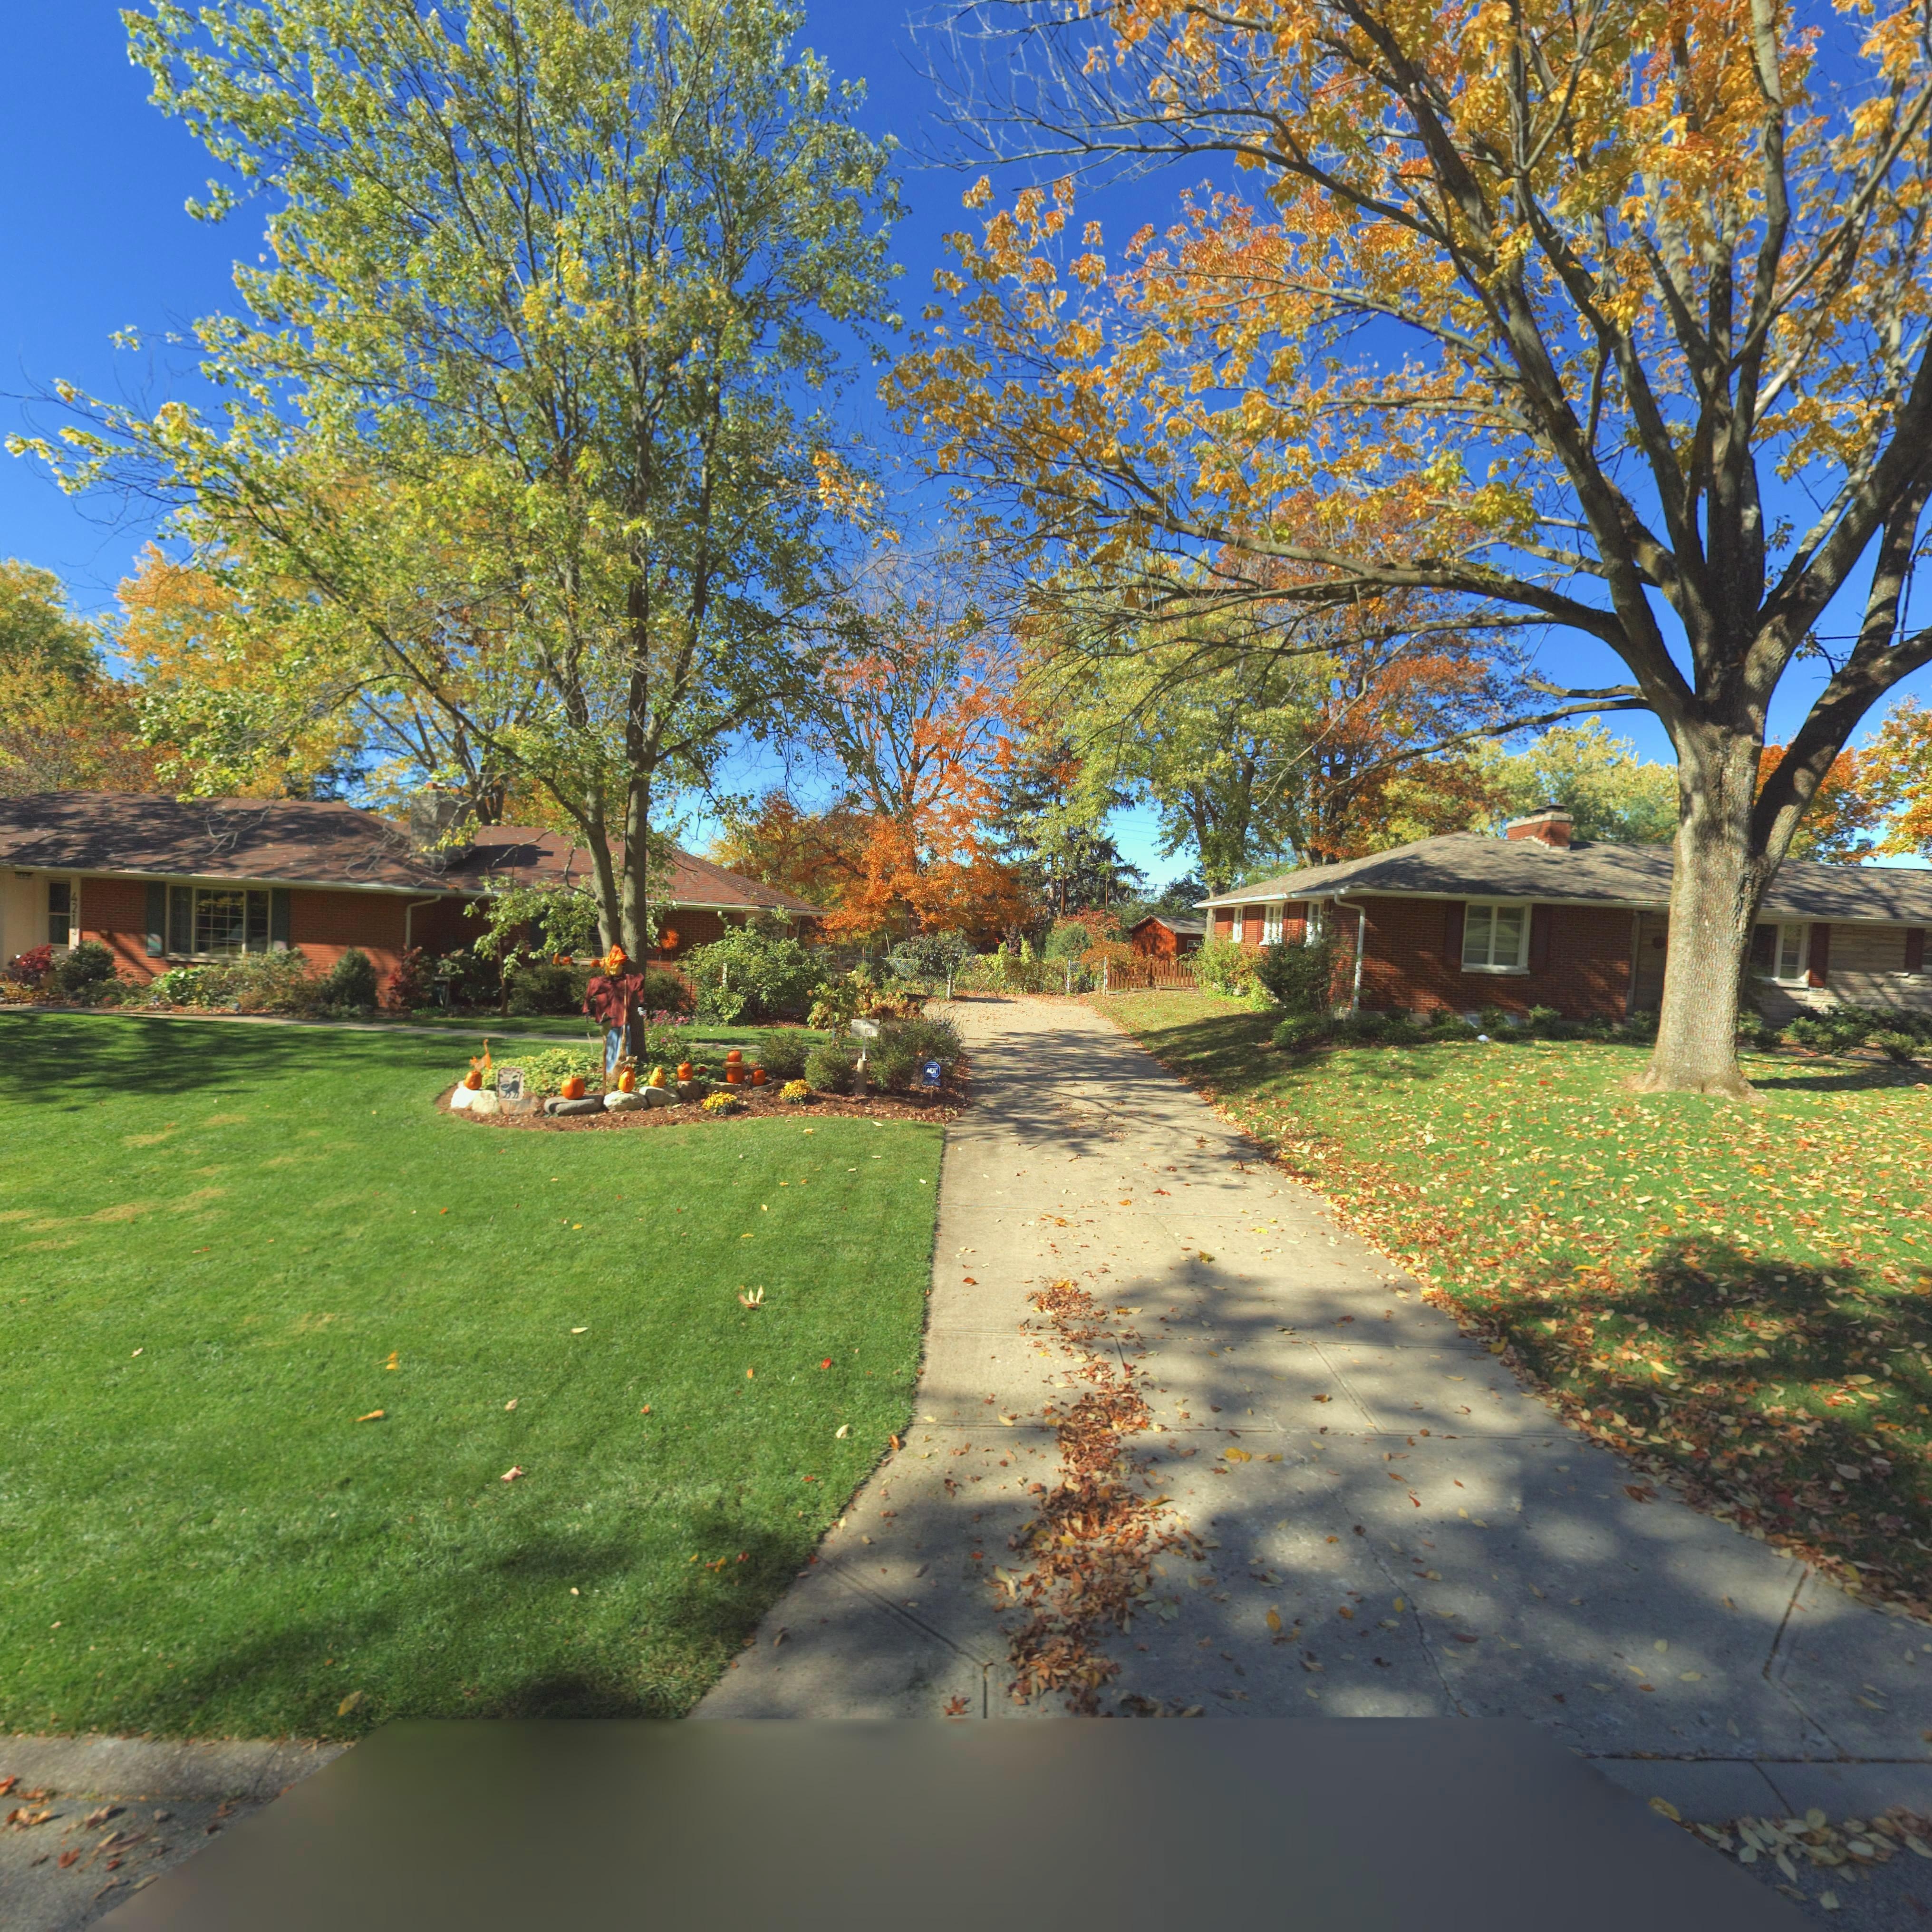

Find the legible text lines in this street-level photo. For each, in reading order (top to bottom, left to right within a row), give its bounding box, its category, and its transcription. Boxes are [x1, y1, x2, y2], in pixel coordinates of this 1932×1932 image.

[70, 891, 78, 936] StreetNumber: 421*